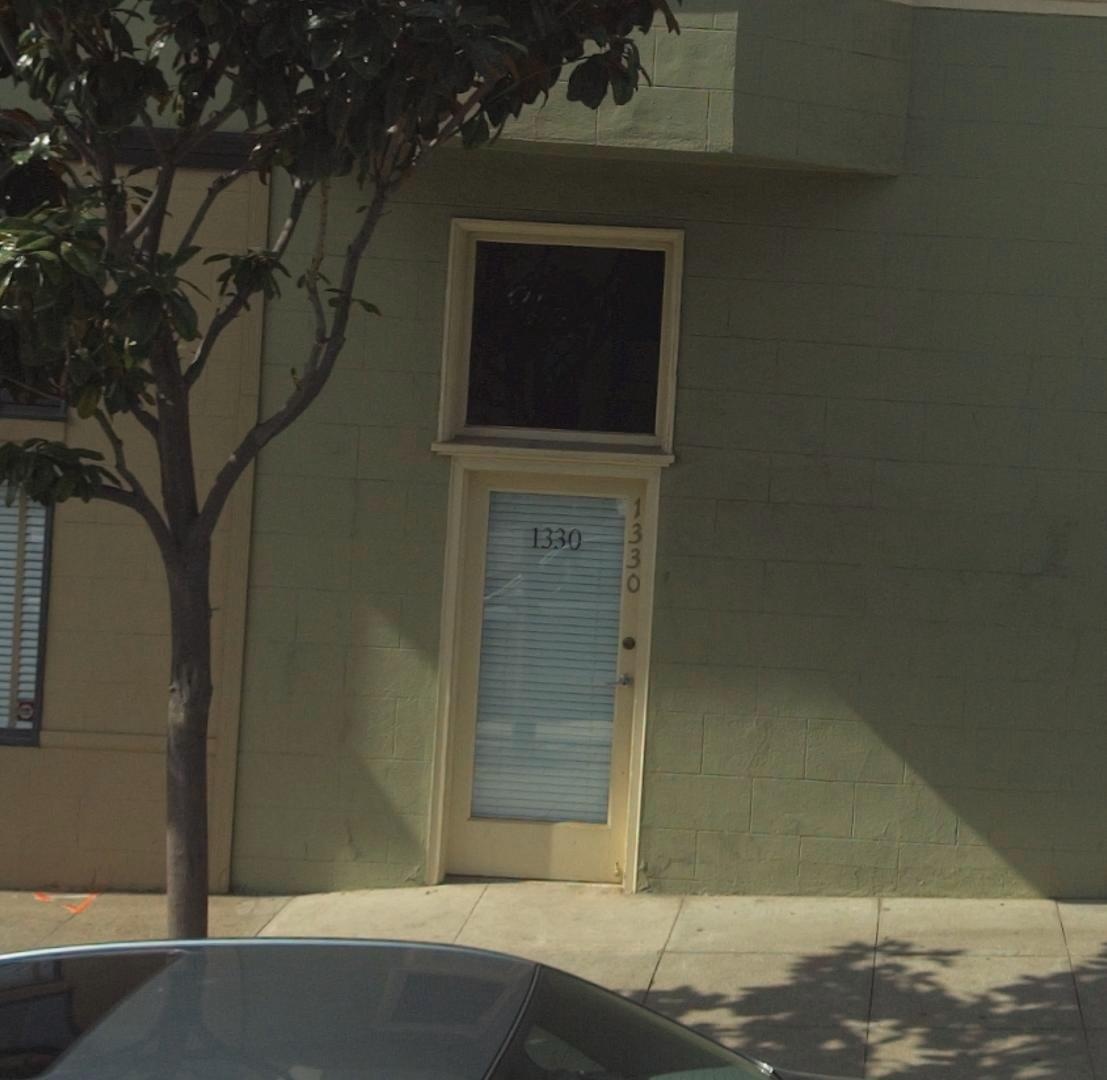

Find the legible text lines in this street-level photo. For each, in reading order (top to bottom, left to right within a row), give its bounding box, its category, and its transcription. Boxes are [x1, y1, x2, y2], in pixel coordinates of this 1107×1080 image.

[530, 526, 582, 552] StreetNumber: 1330
[625, 497, 646, 595] StreetNumber: 1330